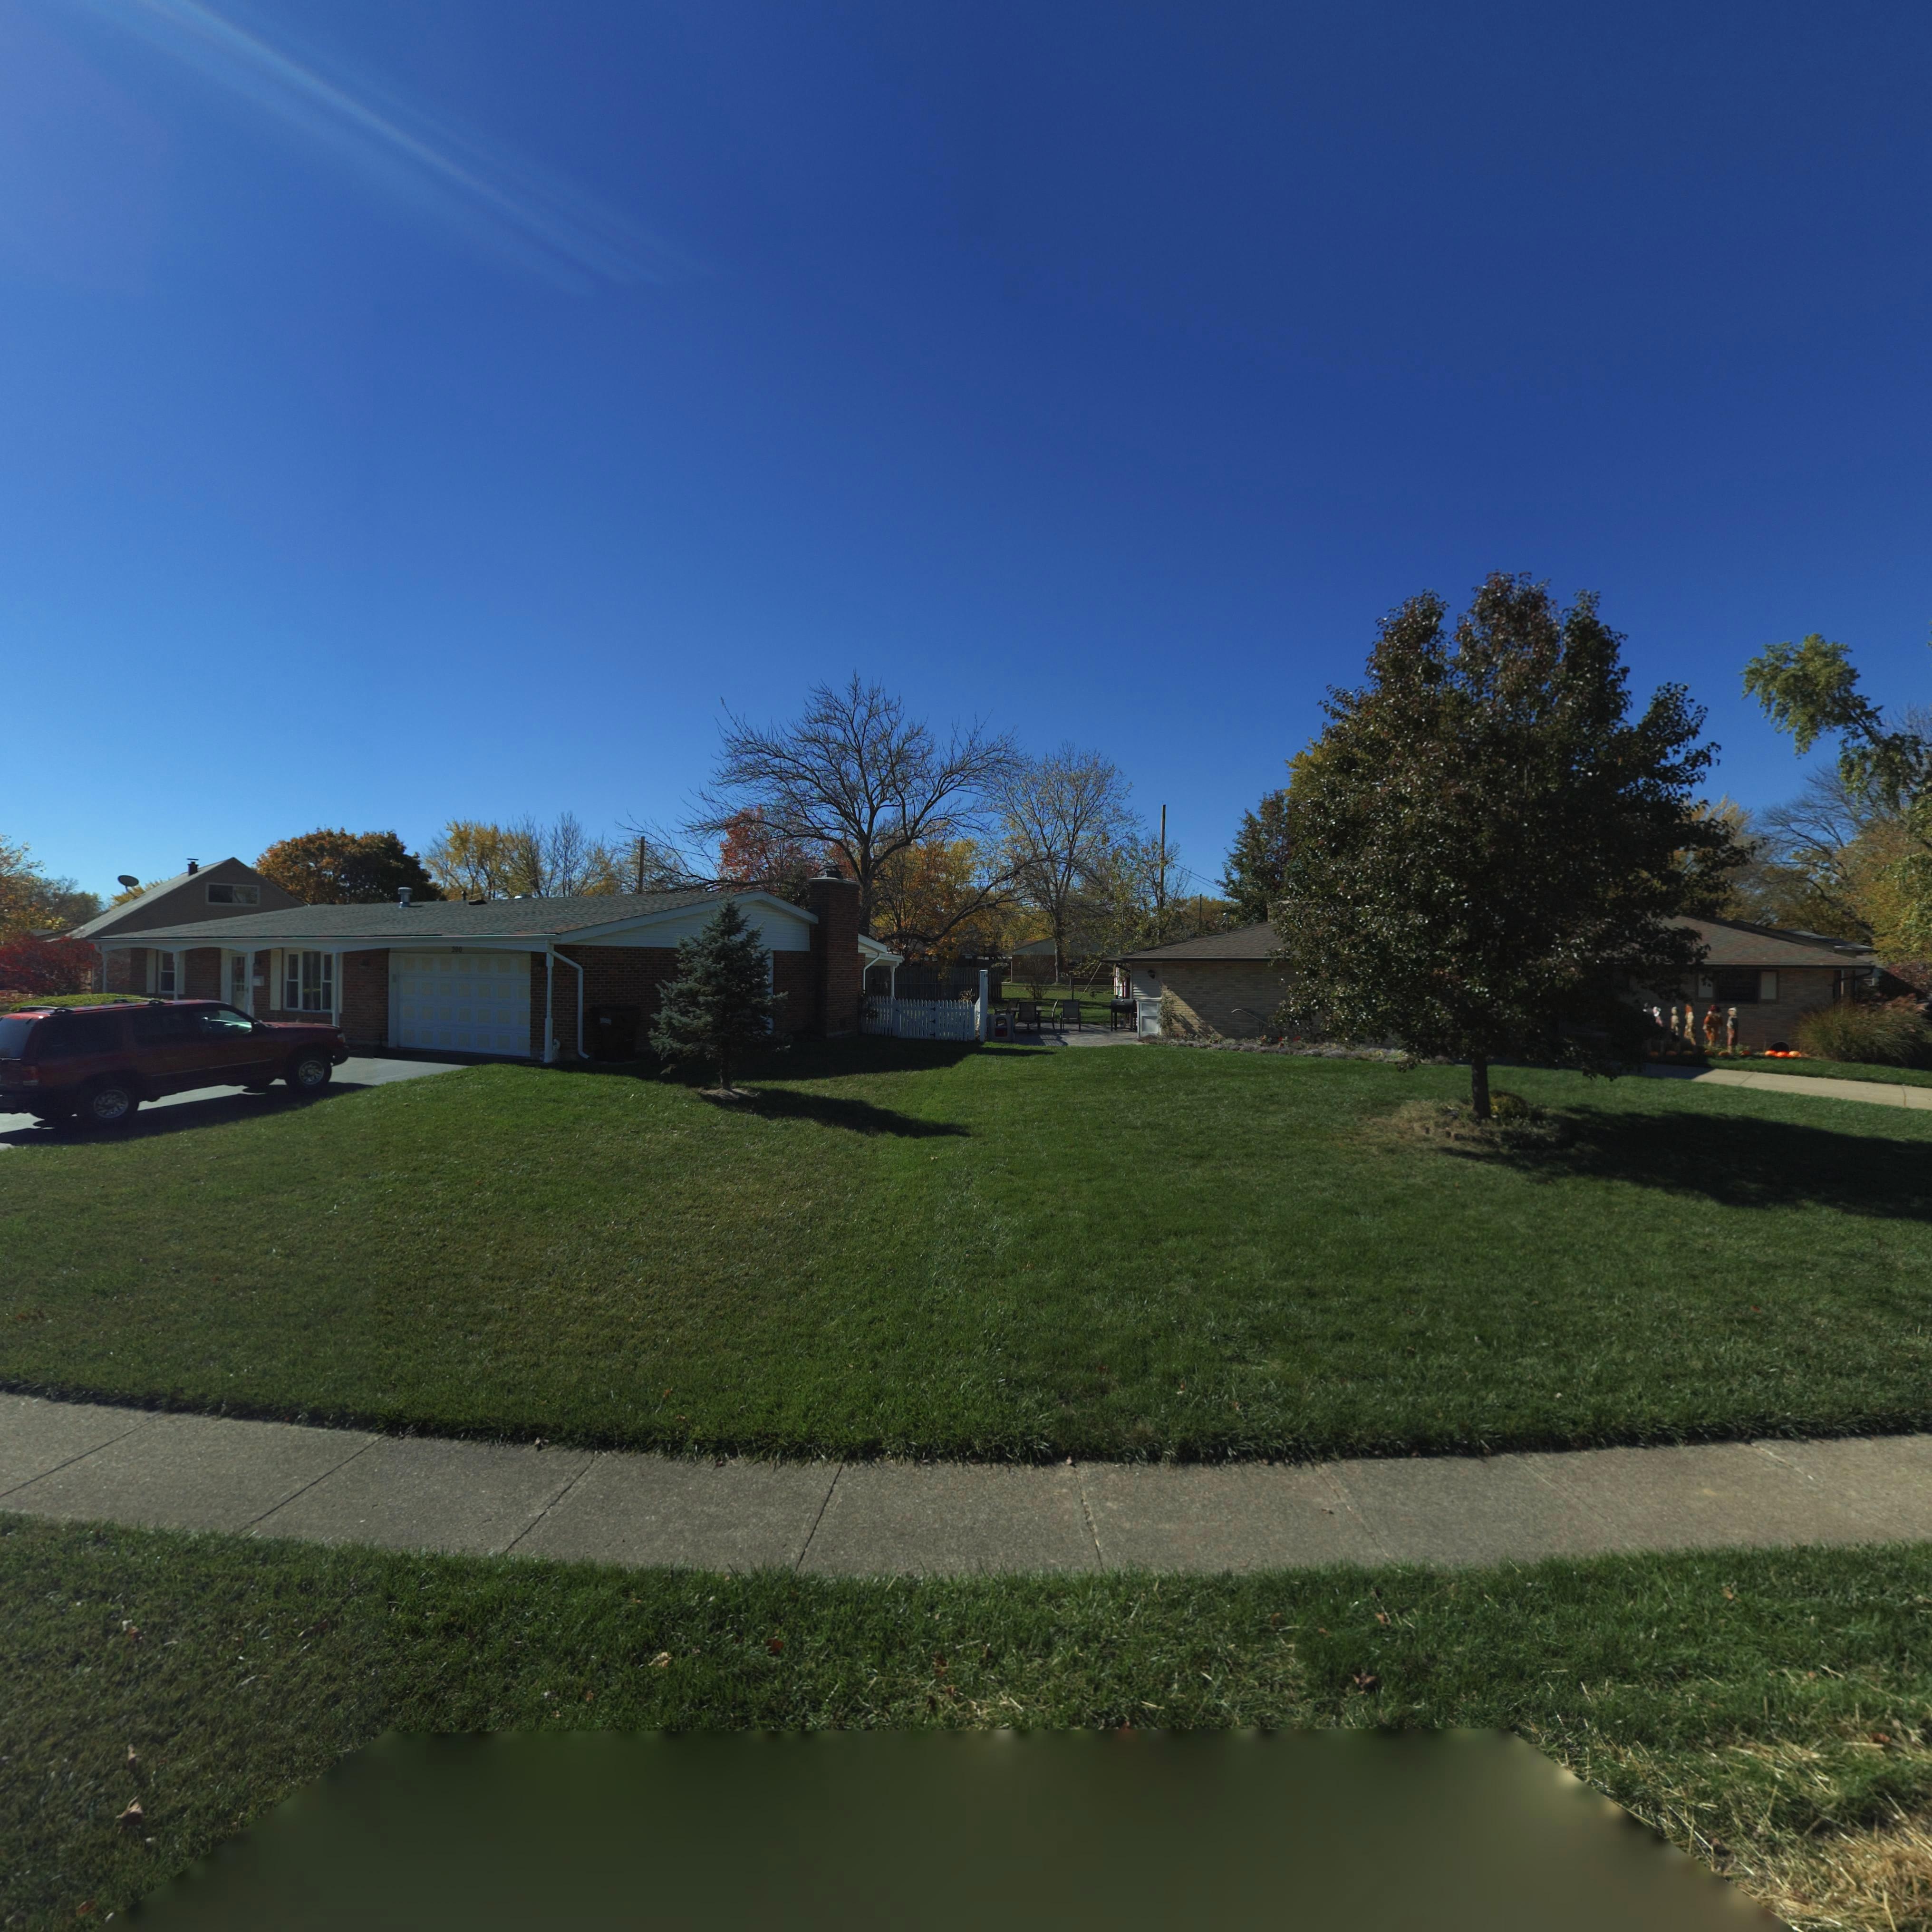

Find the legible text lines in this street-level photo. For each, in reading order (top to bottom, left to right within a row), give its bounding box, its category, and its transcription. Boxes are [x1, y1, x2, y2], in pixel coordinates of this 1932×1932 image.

[450, 945, 463, 954] StreetNumber: 200